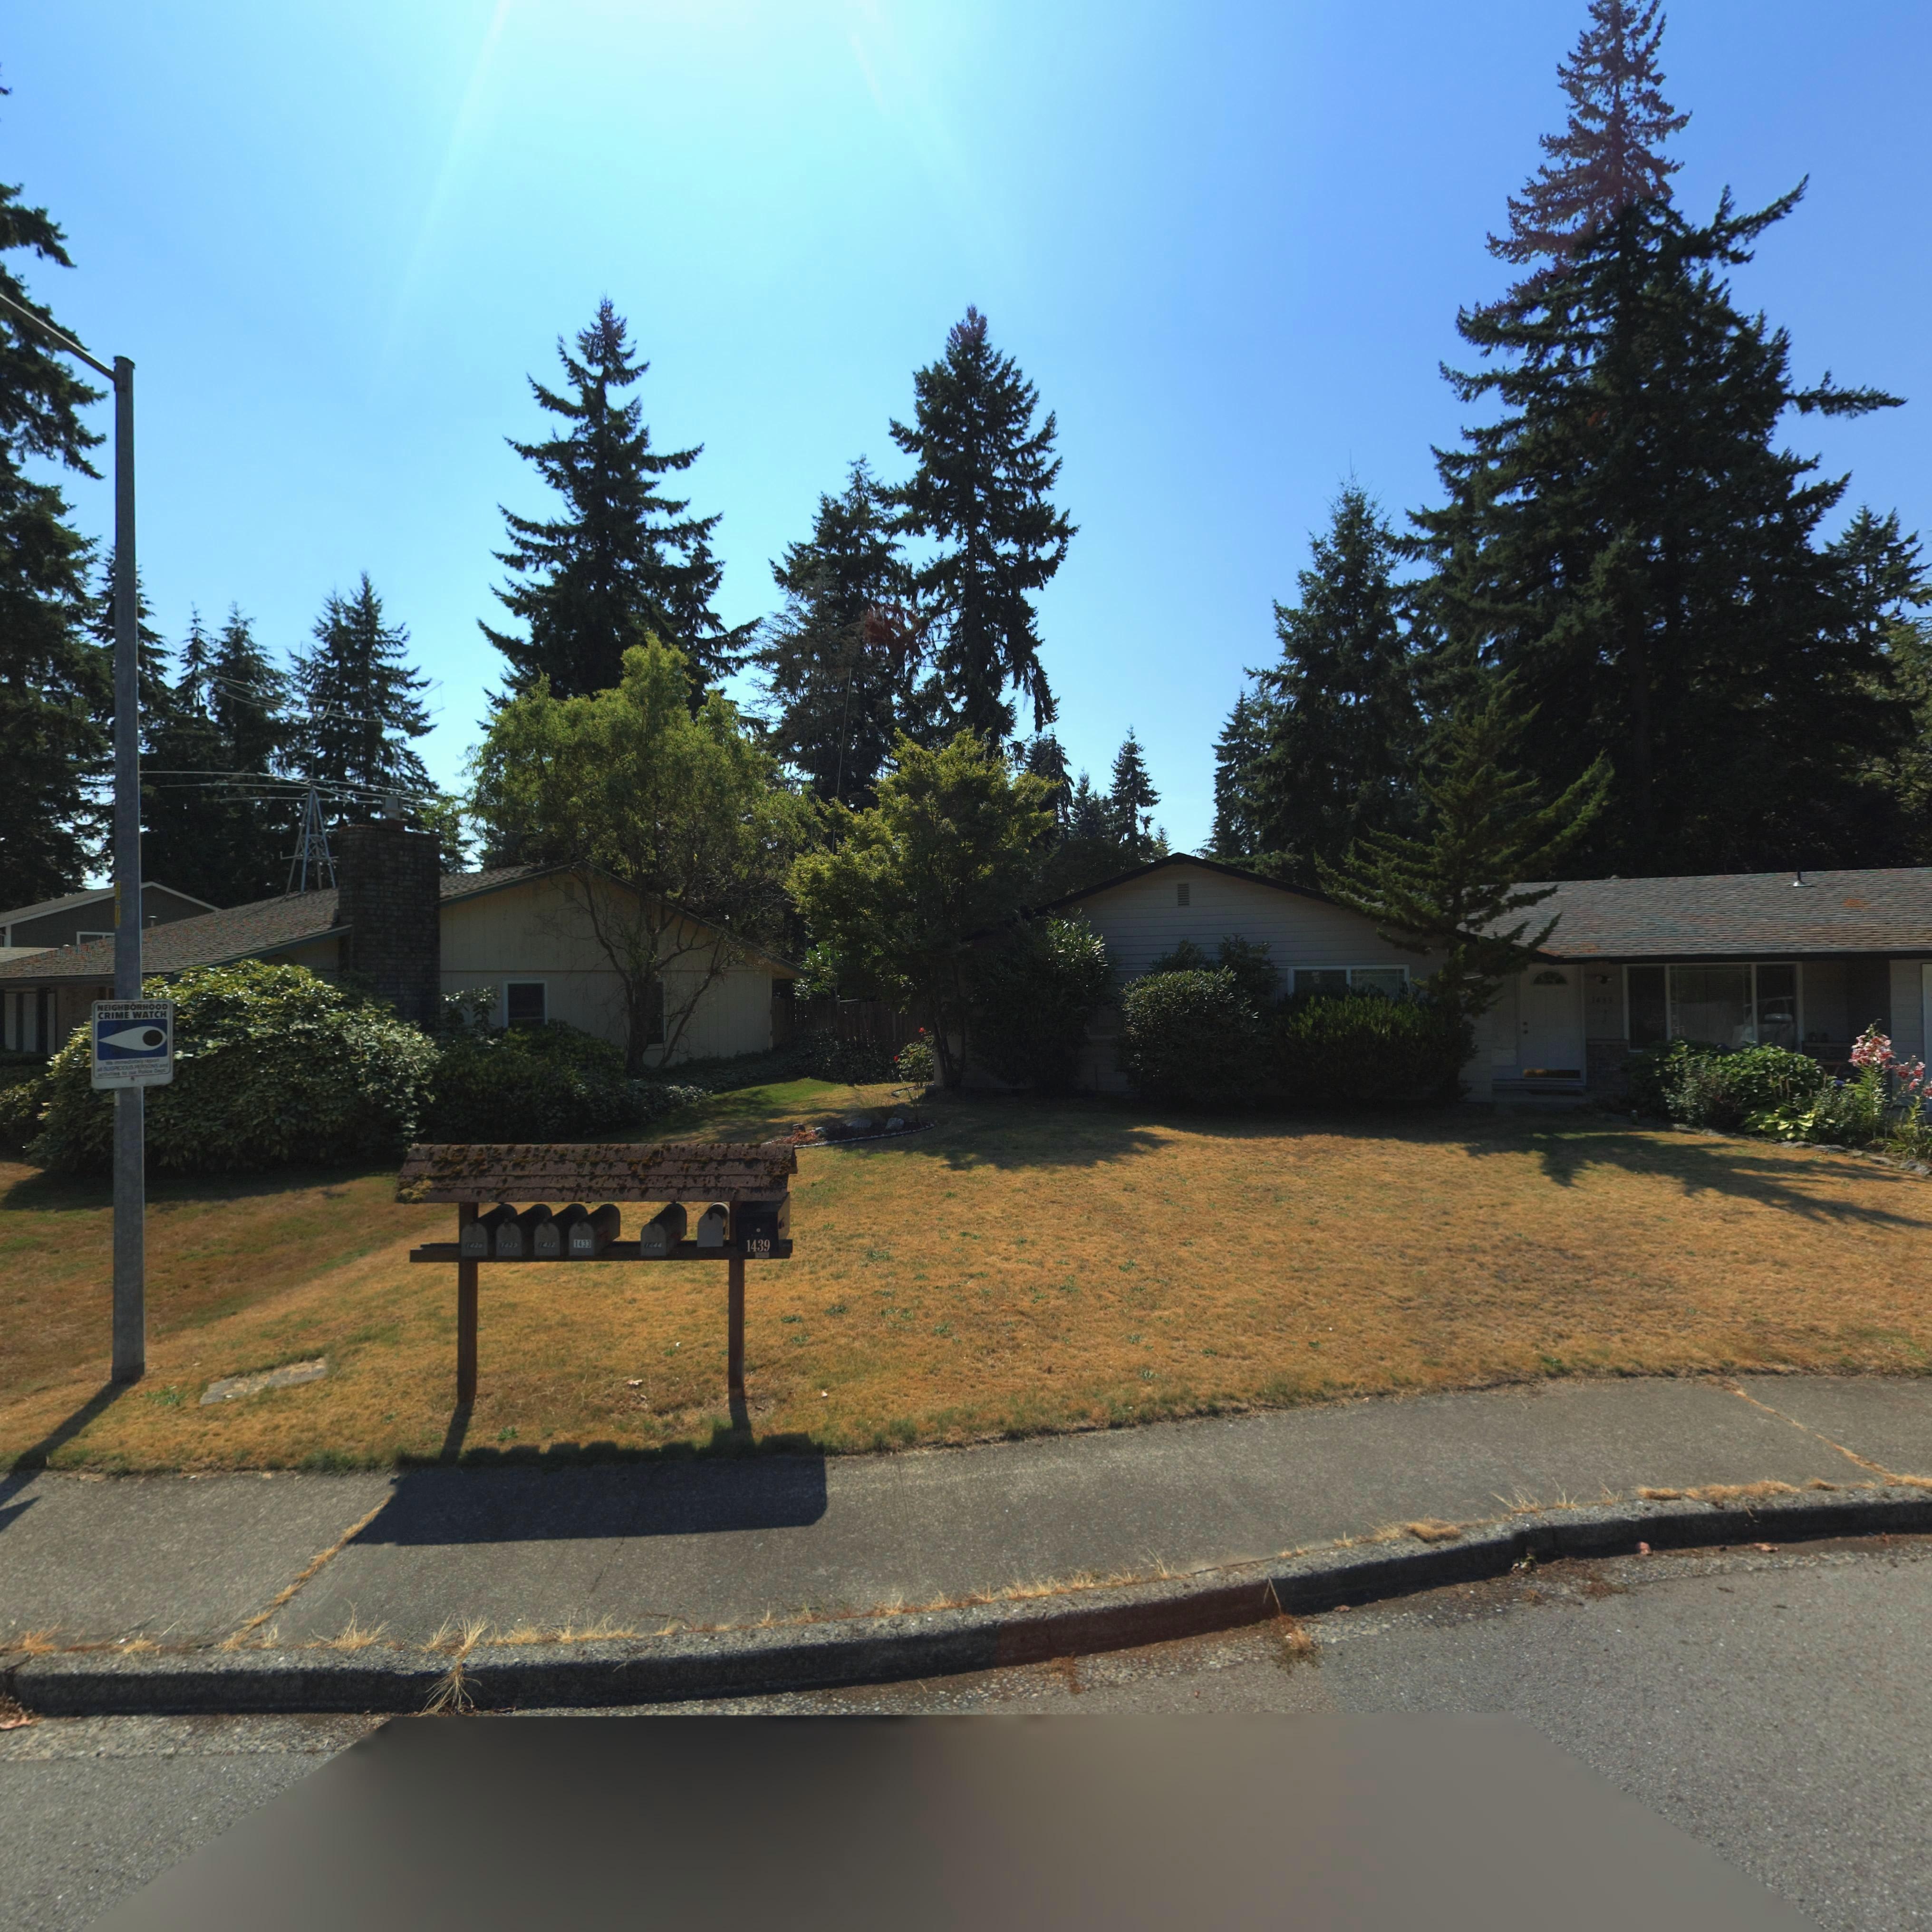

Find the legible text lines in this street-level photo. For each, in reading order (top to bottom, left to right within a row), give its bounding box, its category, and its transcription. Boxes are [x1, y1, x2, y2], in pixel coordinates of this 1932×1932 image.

[1591, 995, 1613, 1004] StreetNumber: 1433
[465, 1242, 483, 1248] StreetNumber: 142*
[500, 1242, 519, 1248] StreetNumber: 1429
[538, 1241, 557, 1248] StreetNumber: 1432
[574, 1239, 591, 1248] StreetNumber: 1433
[645, 1242, 662, 1248] StreetNumber: 1444
[745, 1238, 771, 1252] StreetNumber: 1439